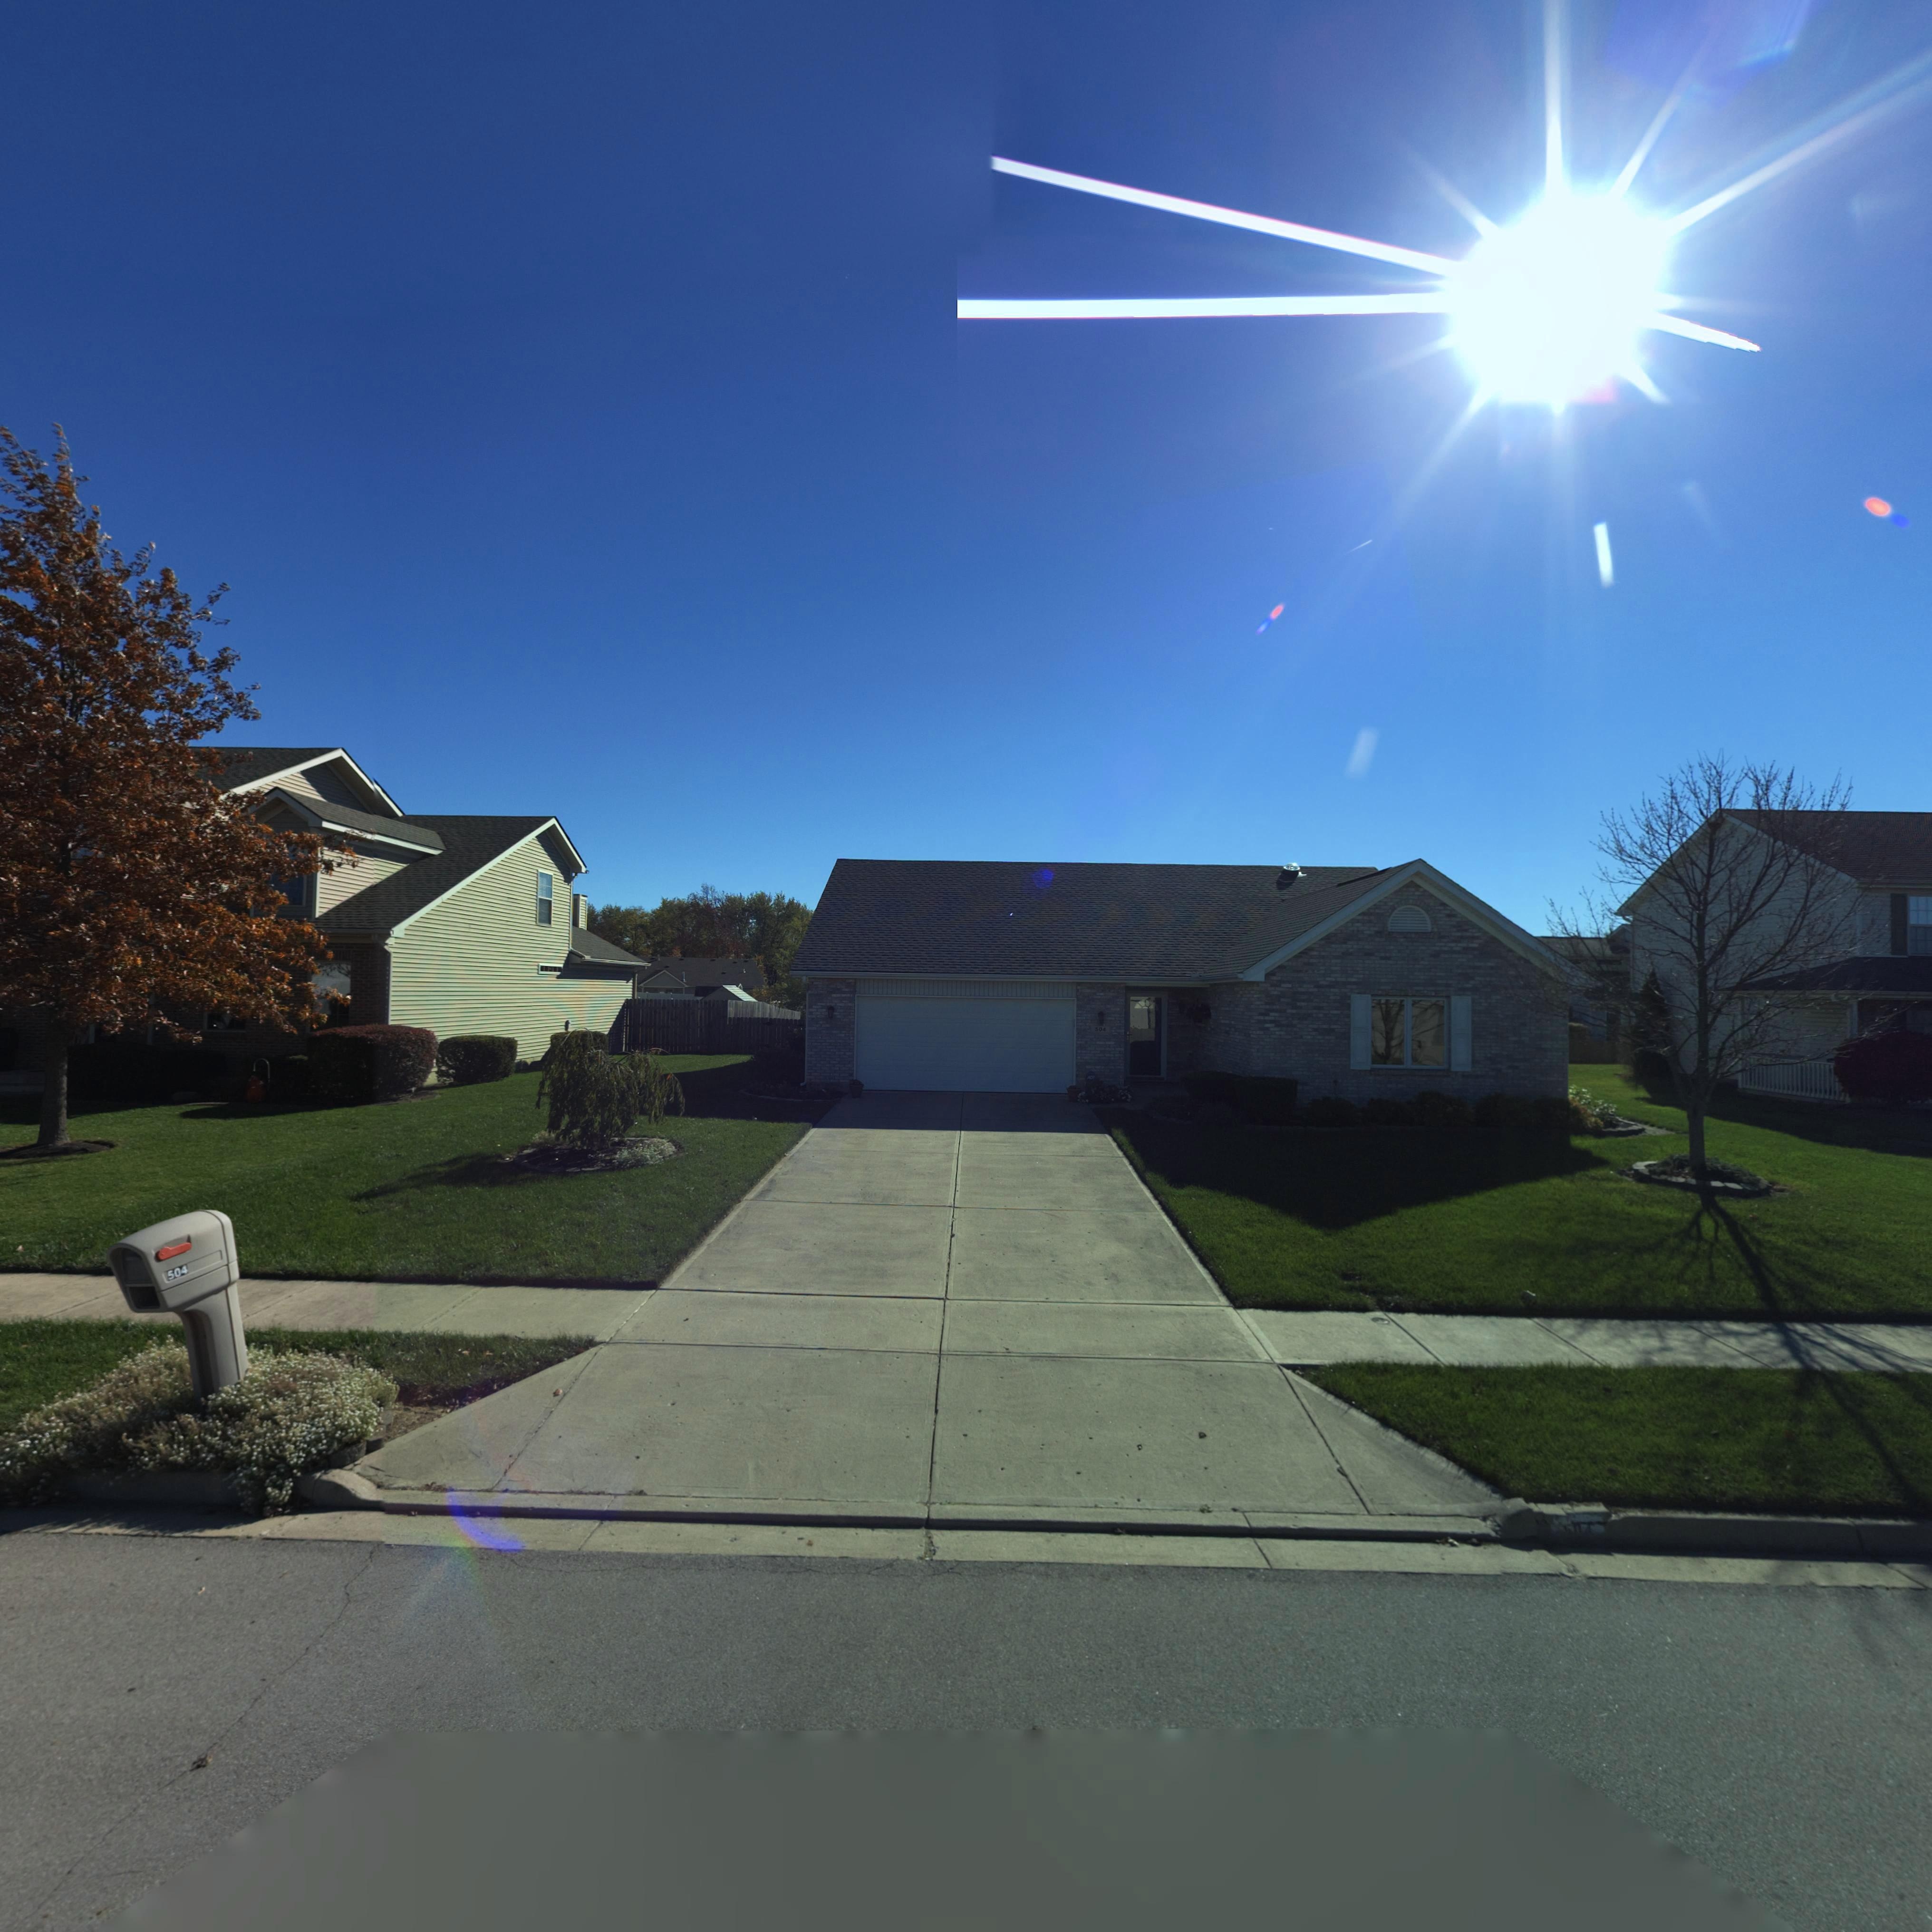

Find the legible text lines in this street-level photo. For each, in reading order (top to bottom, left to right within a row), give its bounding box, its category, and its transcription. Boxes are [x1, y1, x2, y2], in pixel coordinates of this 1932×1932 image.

[1094, 1026, 1107, 1033] StreetNumber: 504
[167, 1263, 189, 1281] StreetNumber: 504